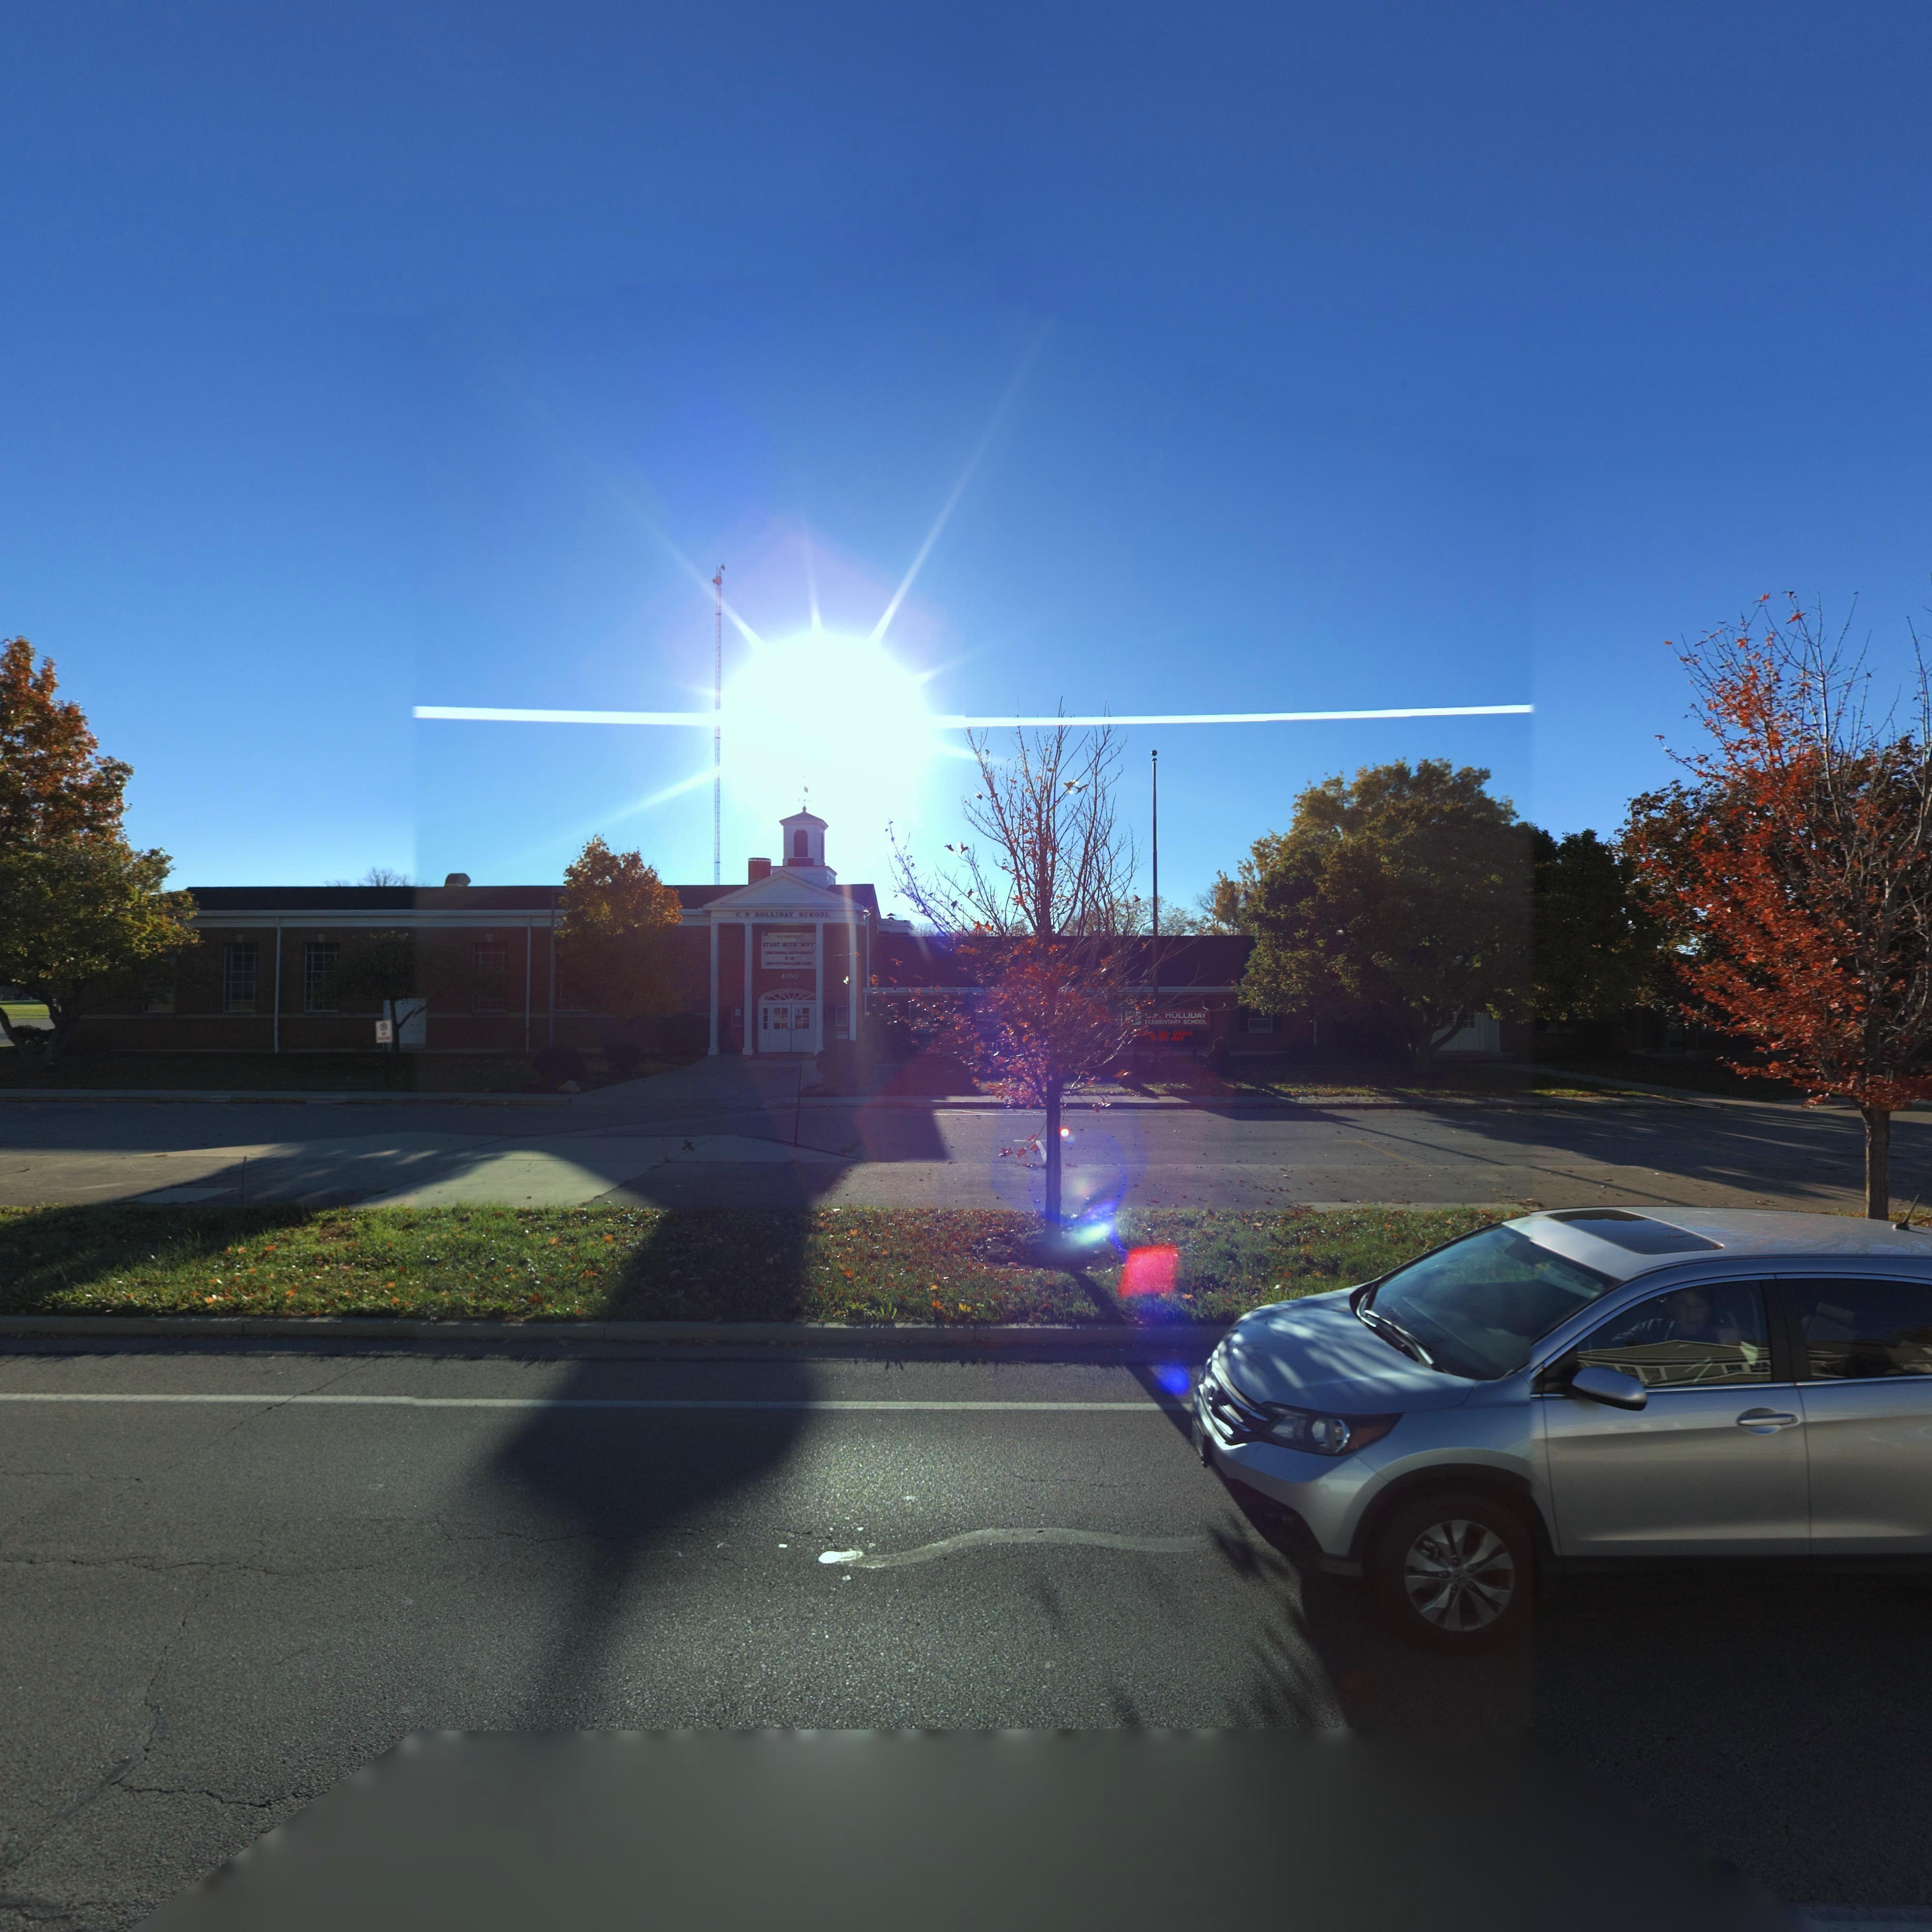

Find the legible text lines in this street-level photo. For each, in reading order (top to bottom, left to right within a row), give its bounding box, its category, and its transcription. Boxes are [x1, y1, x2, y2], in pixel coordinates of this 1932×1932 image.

[780, 973, 799, 980] StreetNumber: 4100